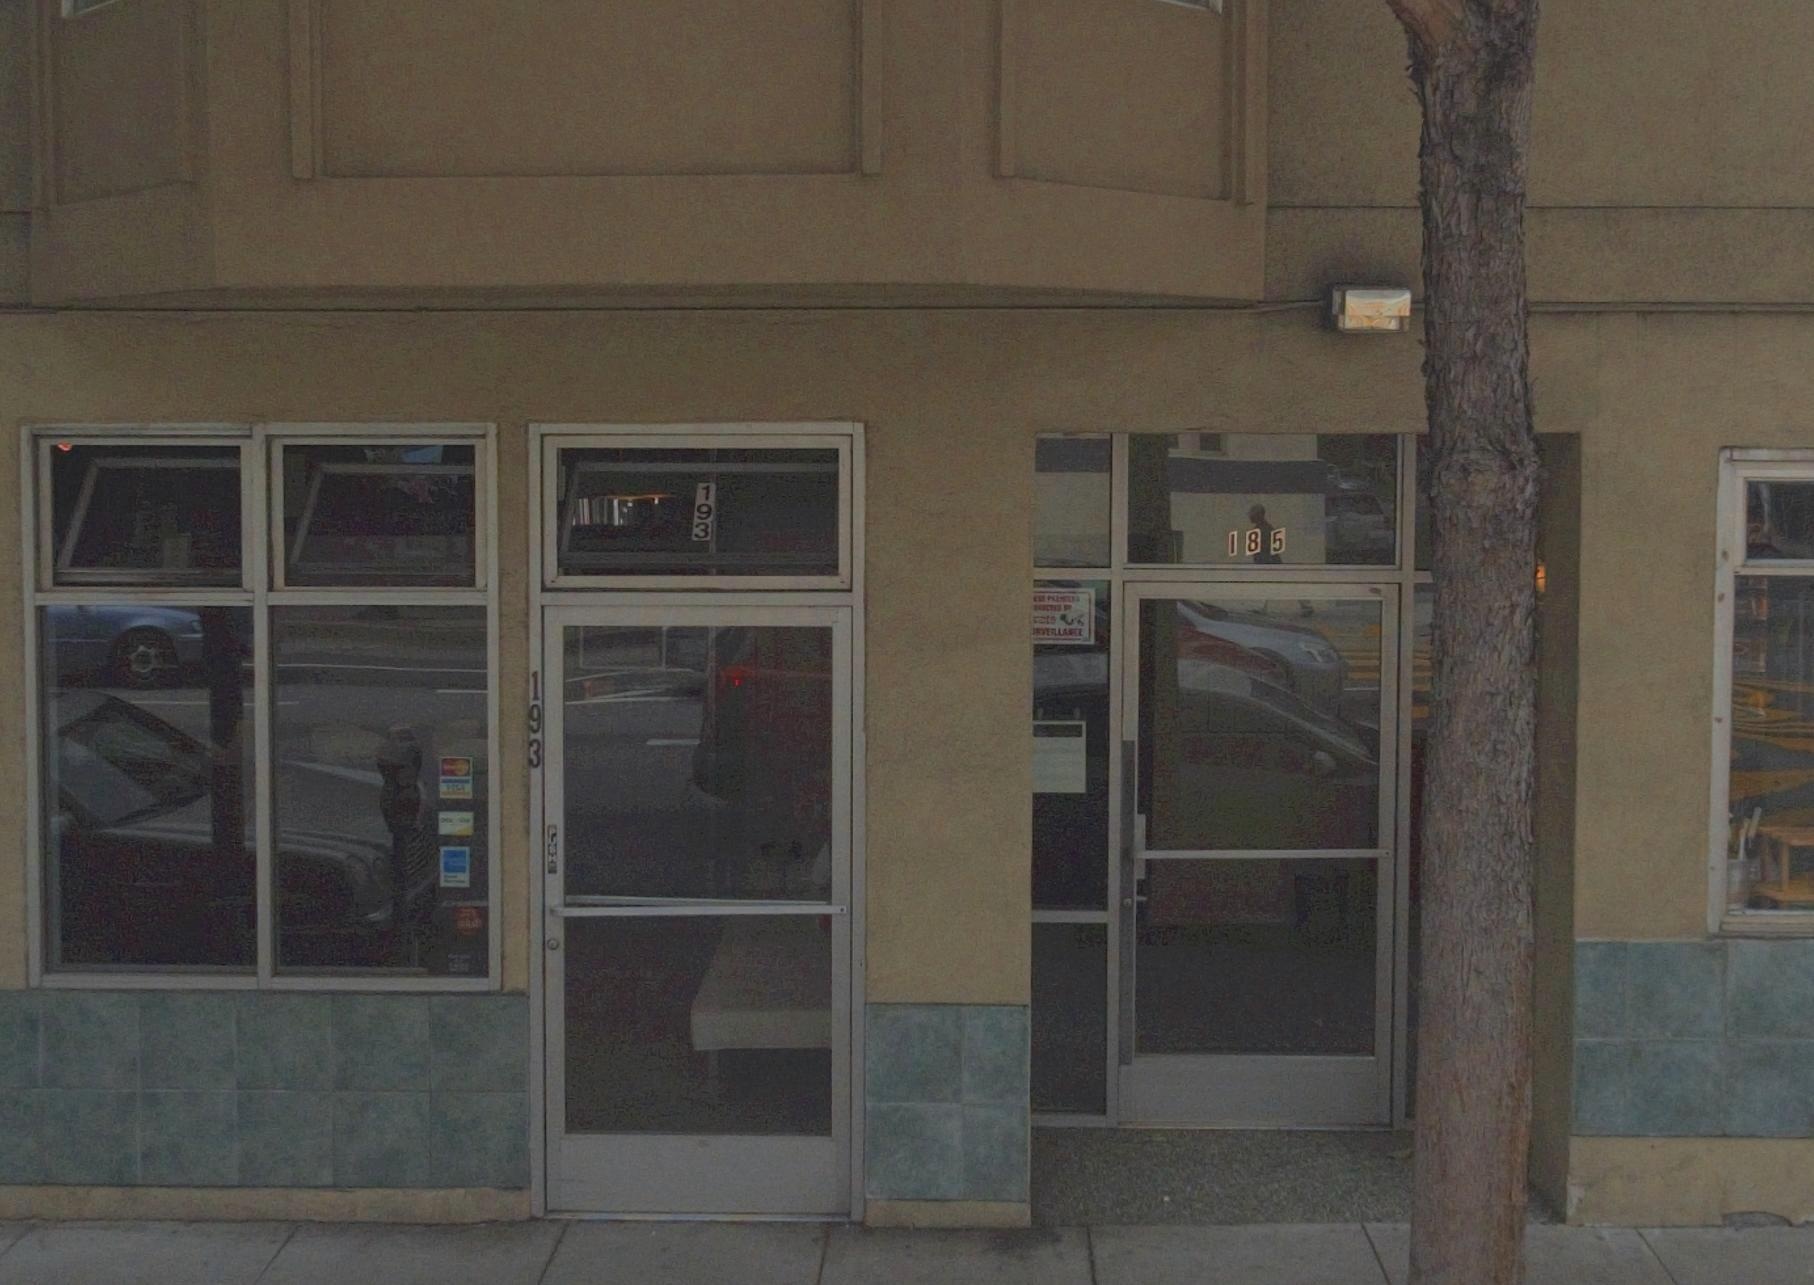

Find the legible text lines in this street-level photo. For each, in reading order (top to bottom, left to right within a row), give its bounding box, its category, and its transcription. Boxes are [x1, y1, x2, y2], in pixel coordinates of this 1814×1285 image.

[692, 483, 714, 540] StreetNumber: 193
[1228, 528, 1285, 556] StreetNumber: 185
[525, 669, 545, 770] StreetNumber: 193
[547, 825, 557, 863] None: PUSH